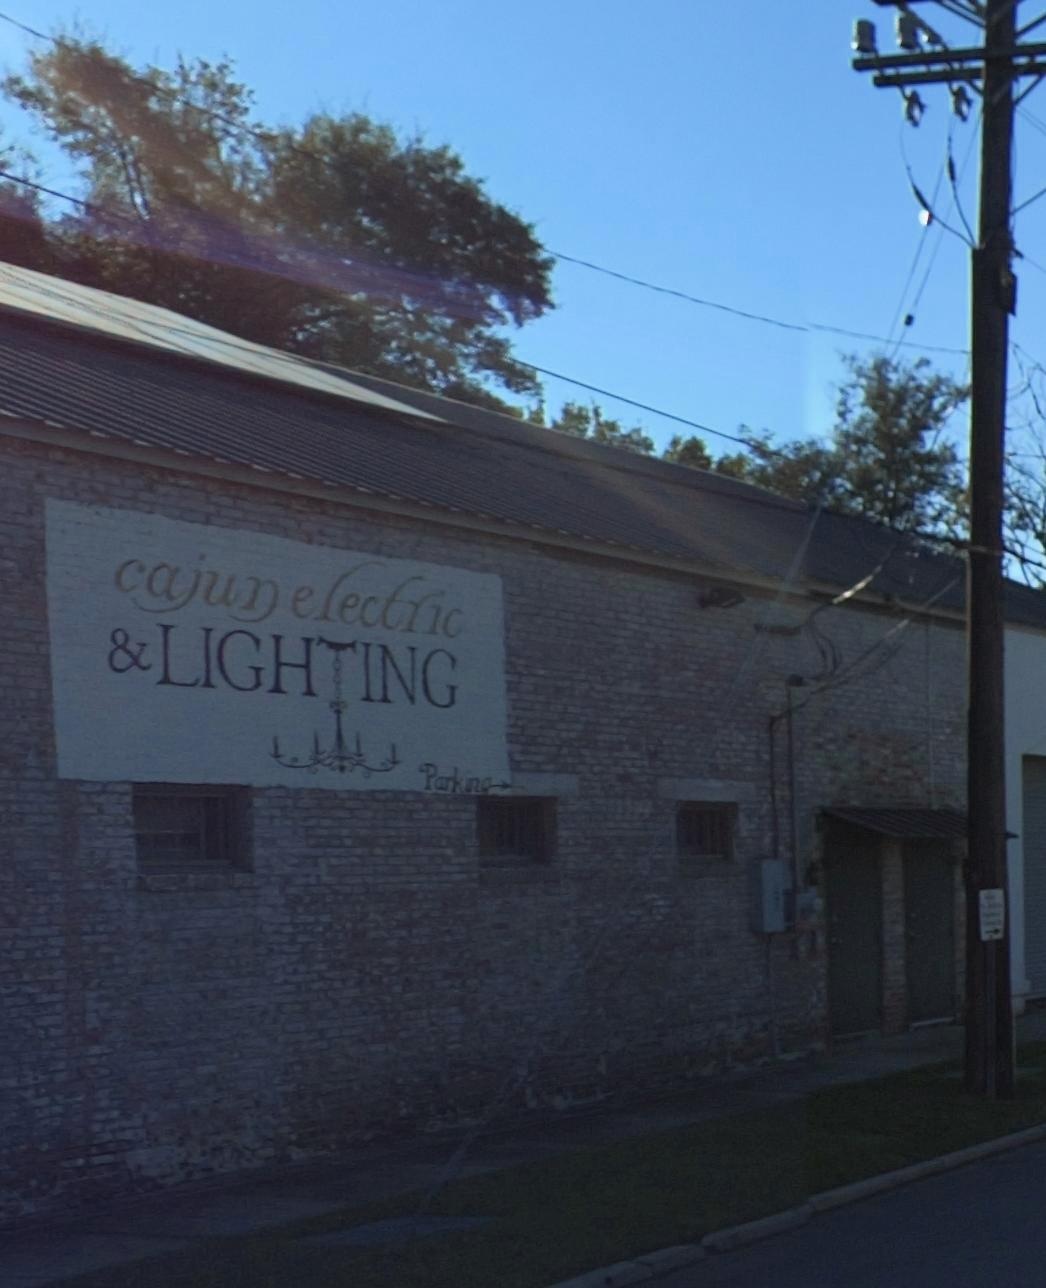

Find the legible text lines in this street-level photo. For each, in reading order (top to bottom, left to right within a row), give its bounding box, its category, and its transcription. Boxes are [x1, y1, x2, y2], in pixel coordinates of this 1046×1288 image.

[112, 550, 469, 644] BusinessName: cajun electric
[104, 618, 463, 712] BusinessName: & LIGHTING
[417, 760, 496, 798] None: Parking